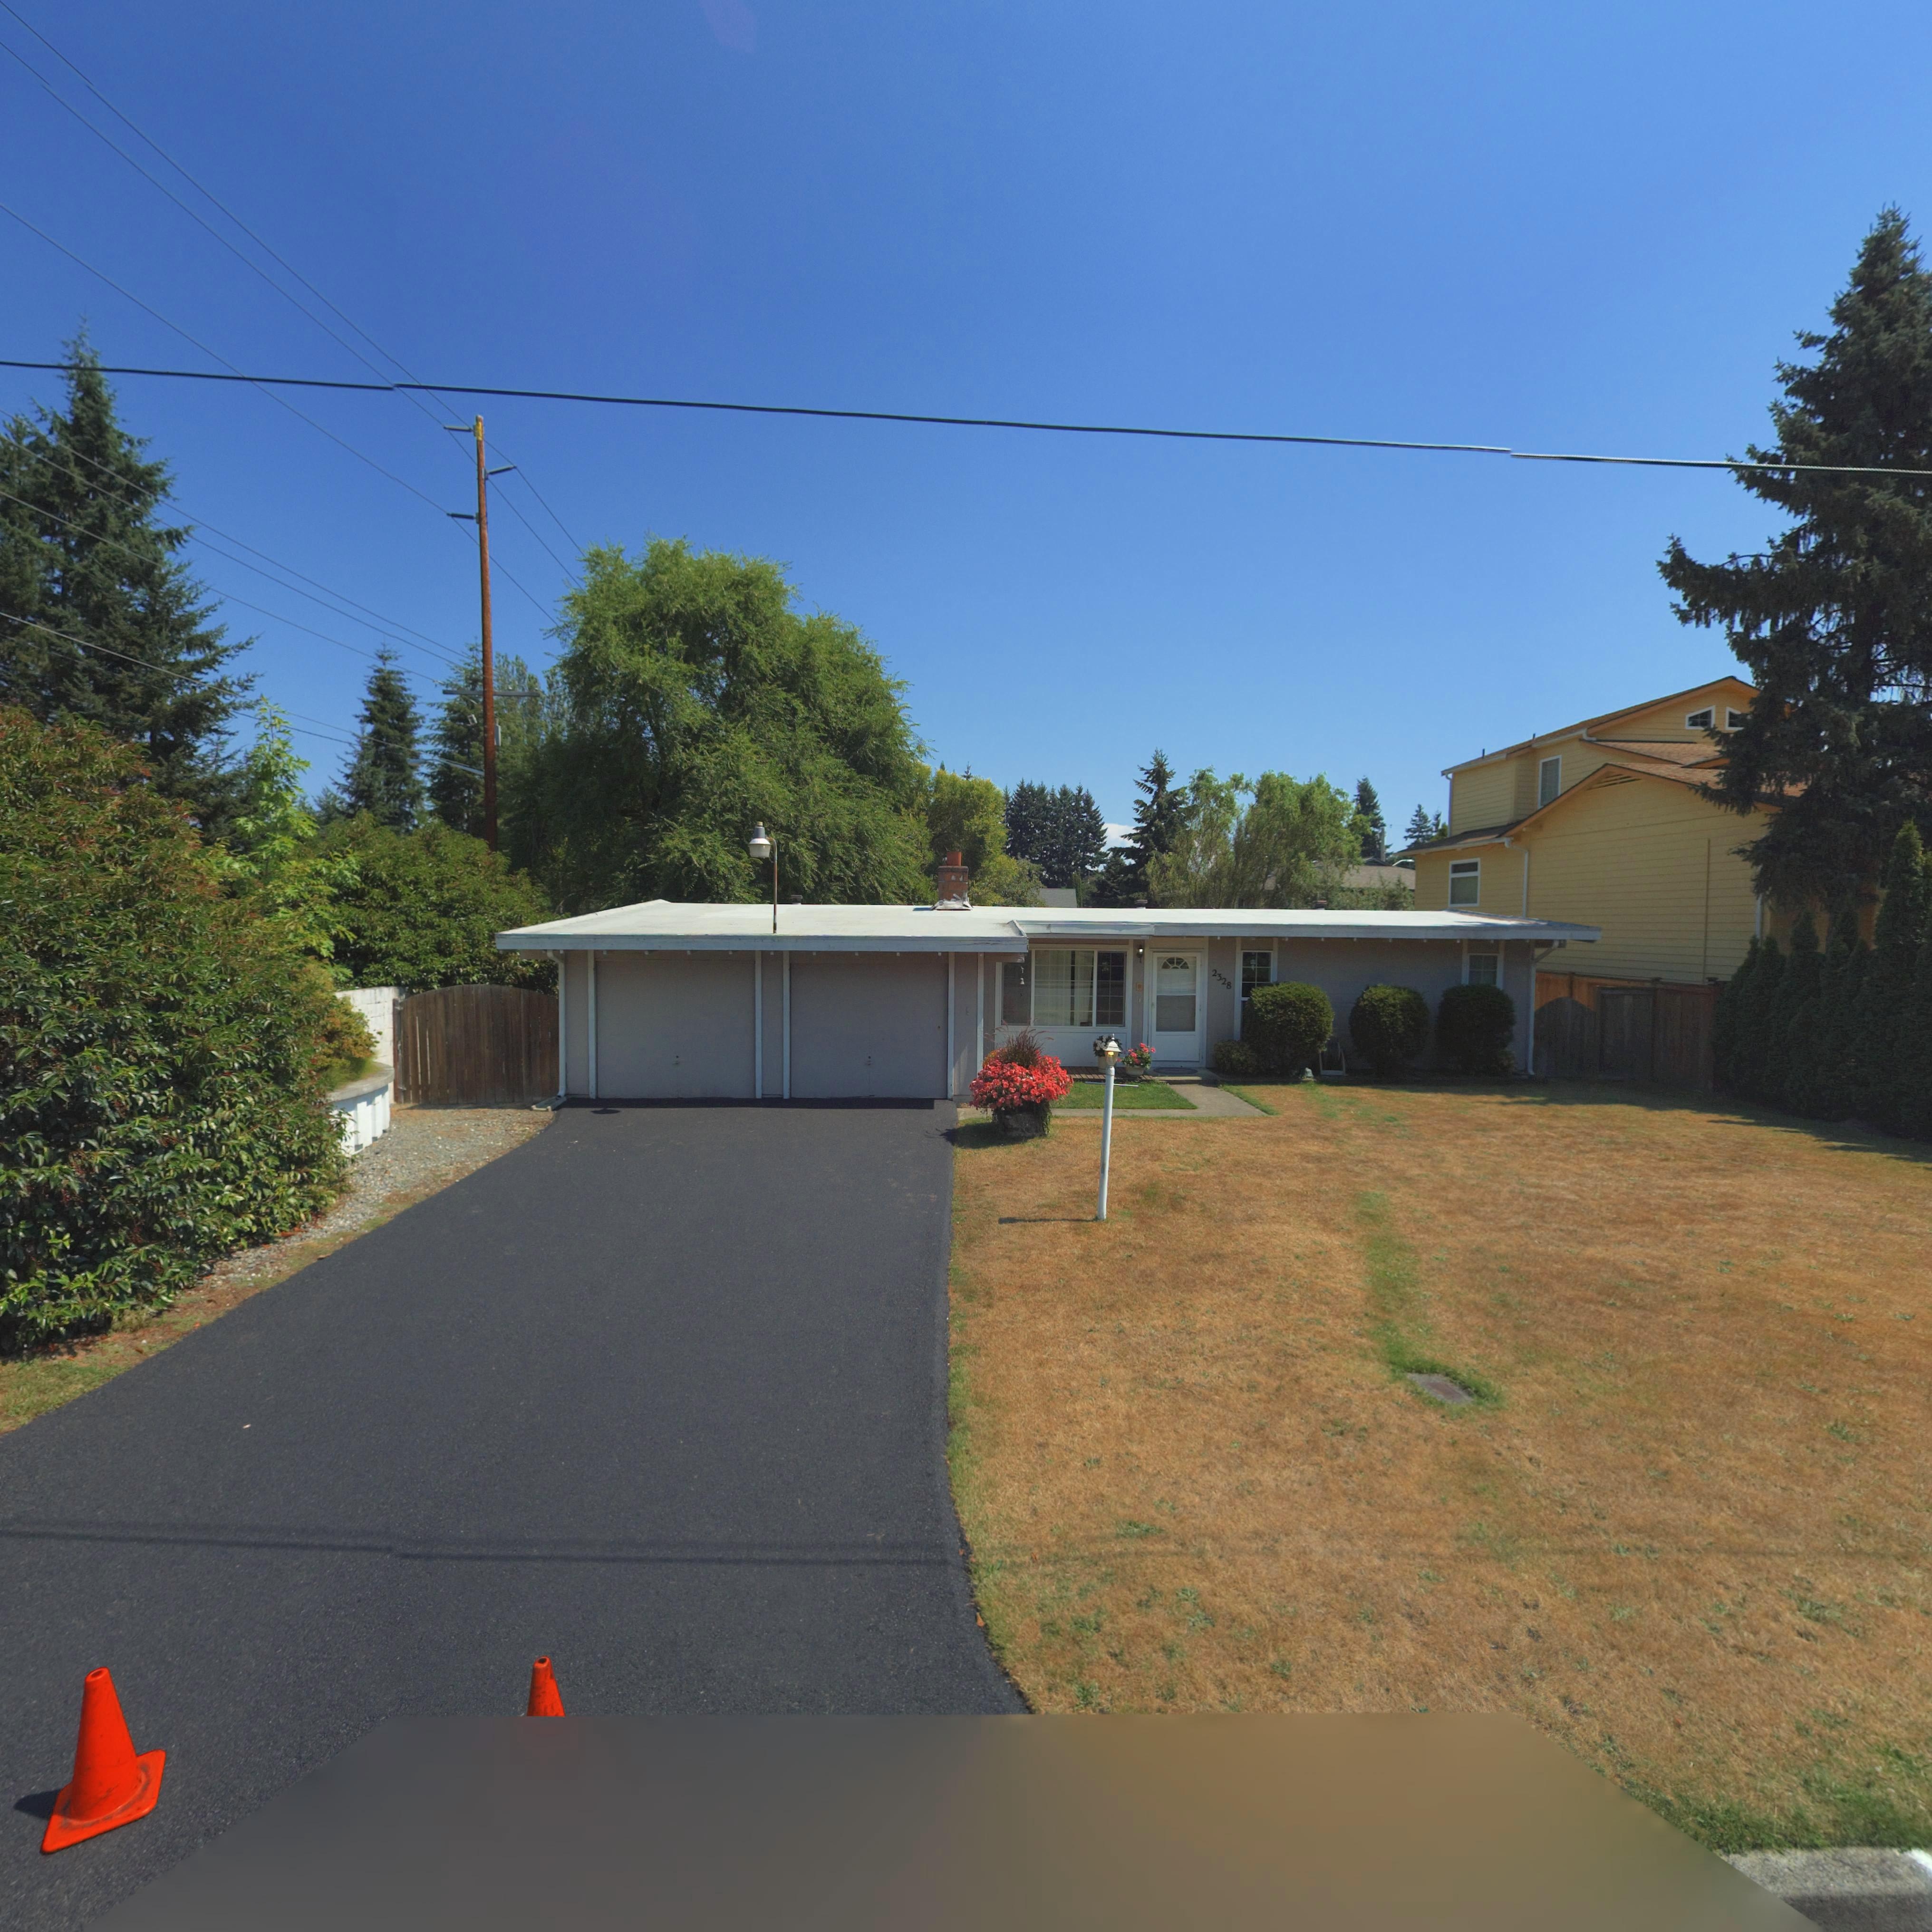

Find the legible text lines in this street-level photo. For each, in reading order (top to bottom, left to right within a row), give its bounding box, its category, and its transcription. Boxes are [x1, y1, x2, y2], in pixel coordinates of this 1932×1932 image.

[1212, 969, 1231, 989] StreetNumber: 2328